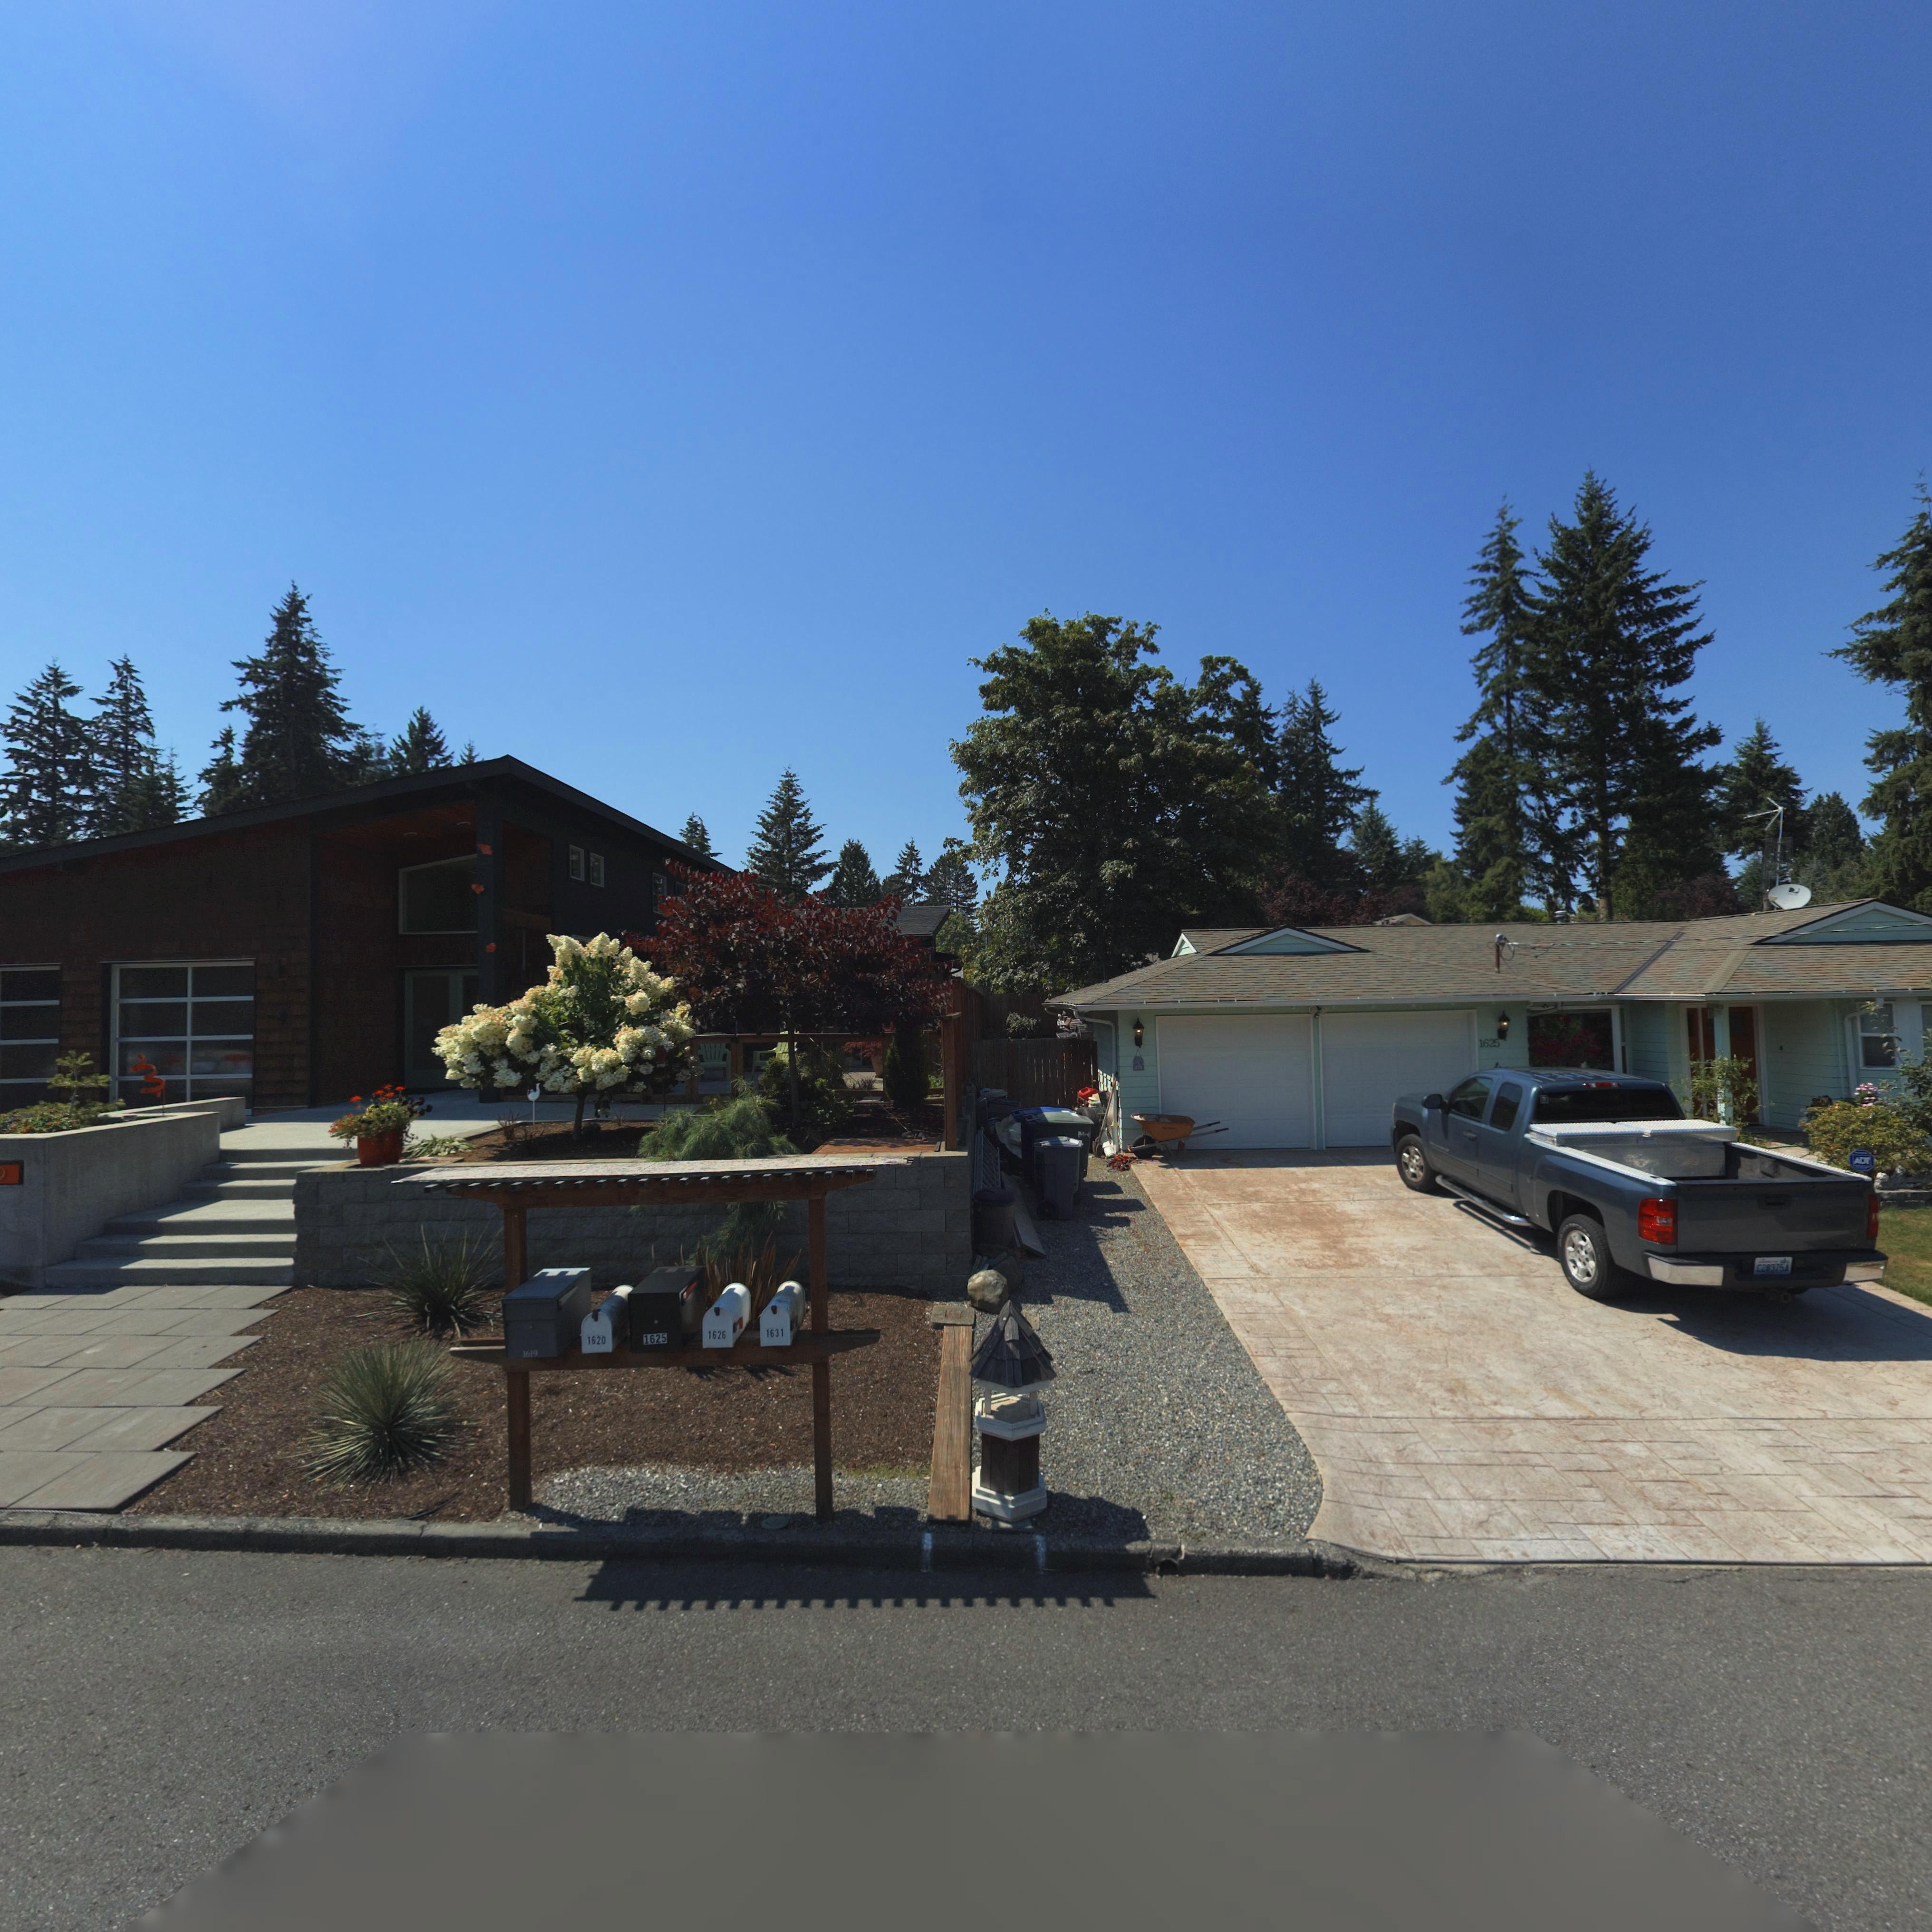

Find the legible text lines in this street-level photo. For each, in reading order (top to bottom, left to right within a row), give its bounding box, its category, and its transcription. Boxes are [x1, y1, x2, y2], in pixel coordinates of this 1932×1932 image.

[1478, 1038, 1500, 1048] StreetNumber: 1625
[587, 1335, 606, 1344] StreetNumber: 1620
[644, 1333, 666, 1344] StreetNumber: 1625
[708, 1330, 726, 1339] StreetNumber: 1626
[766, 1328, 784, 1338] StreetNumber: 1631
[522, 1350, 538, 1358] StreetNumber: 1619